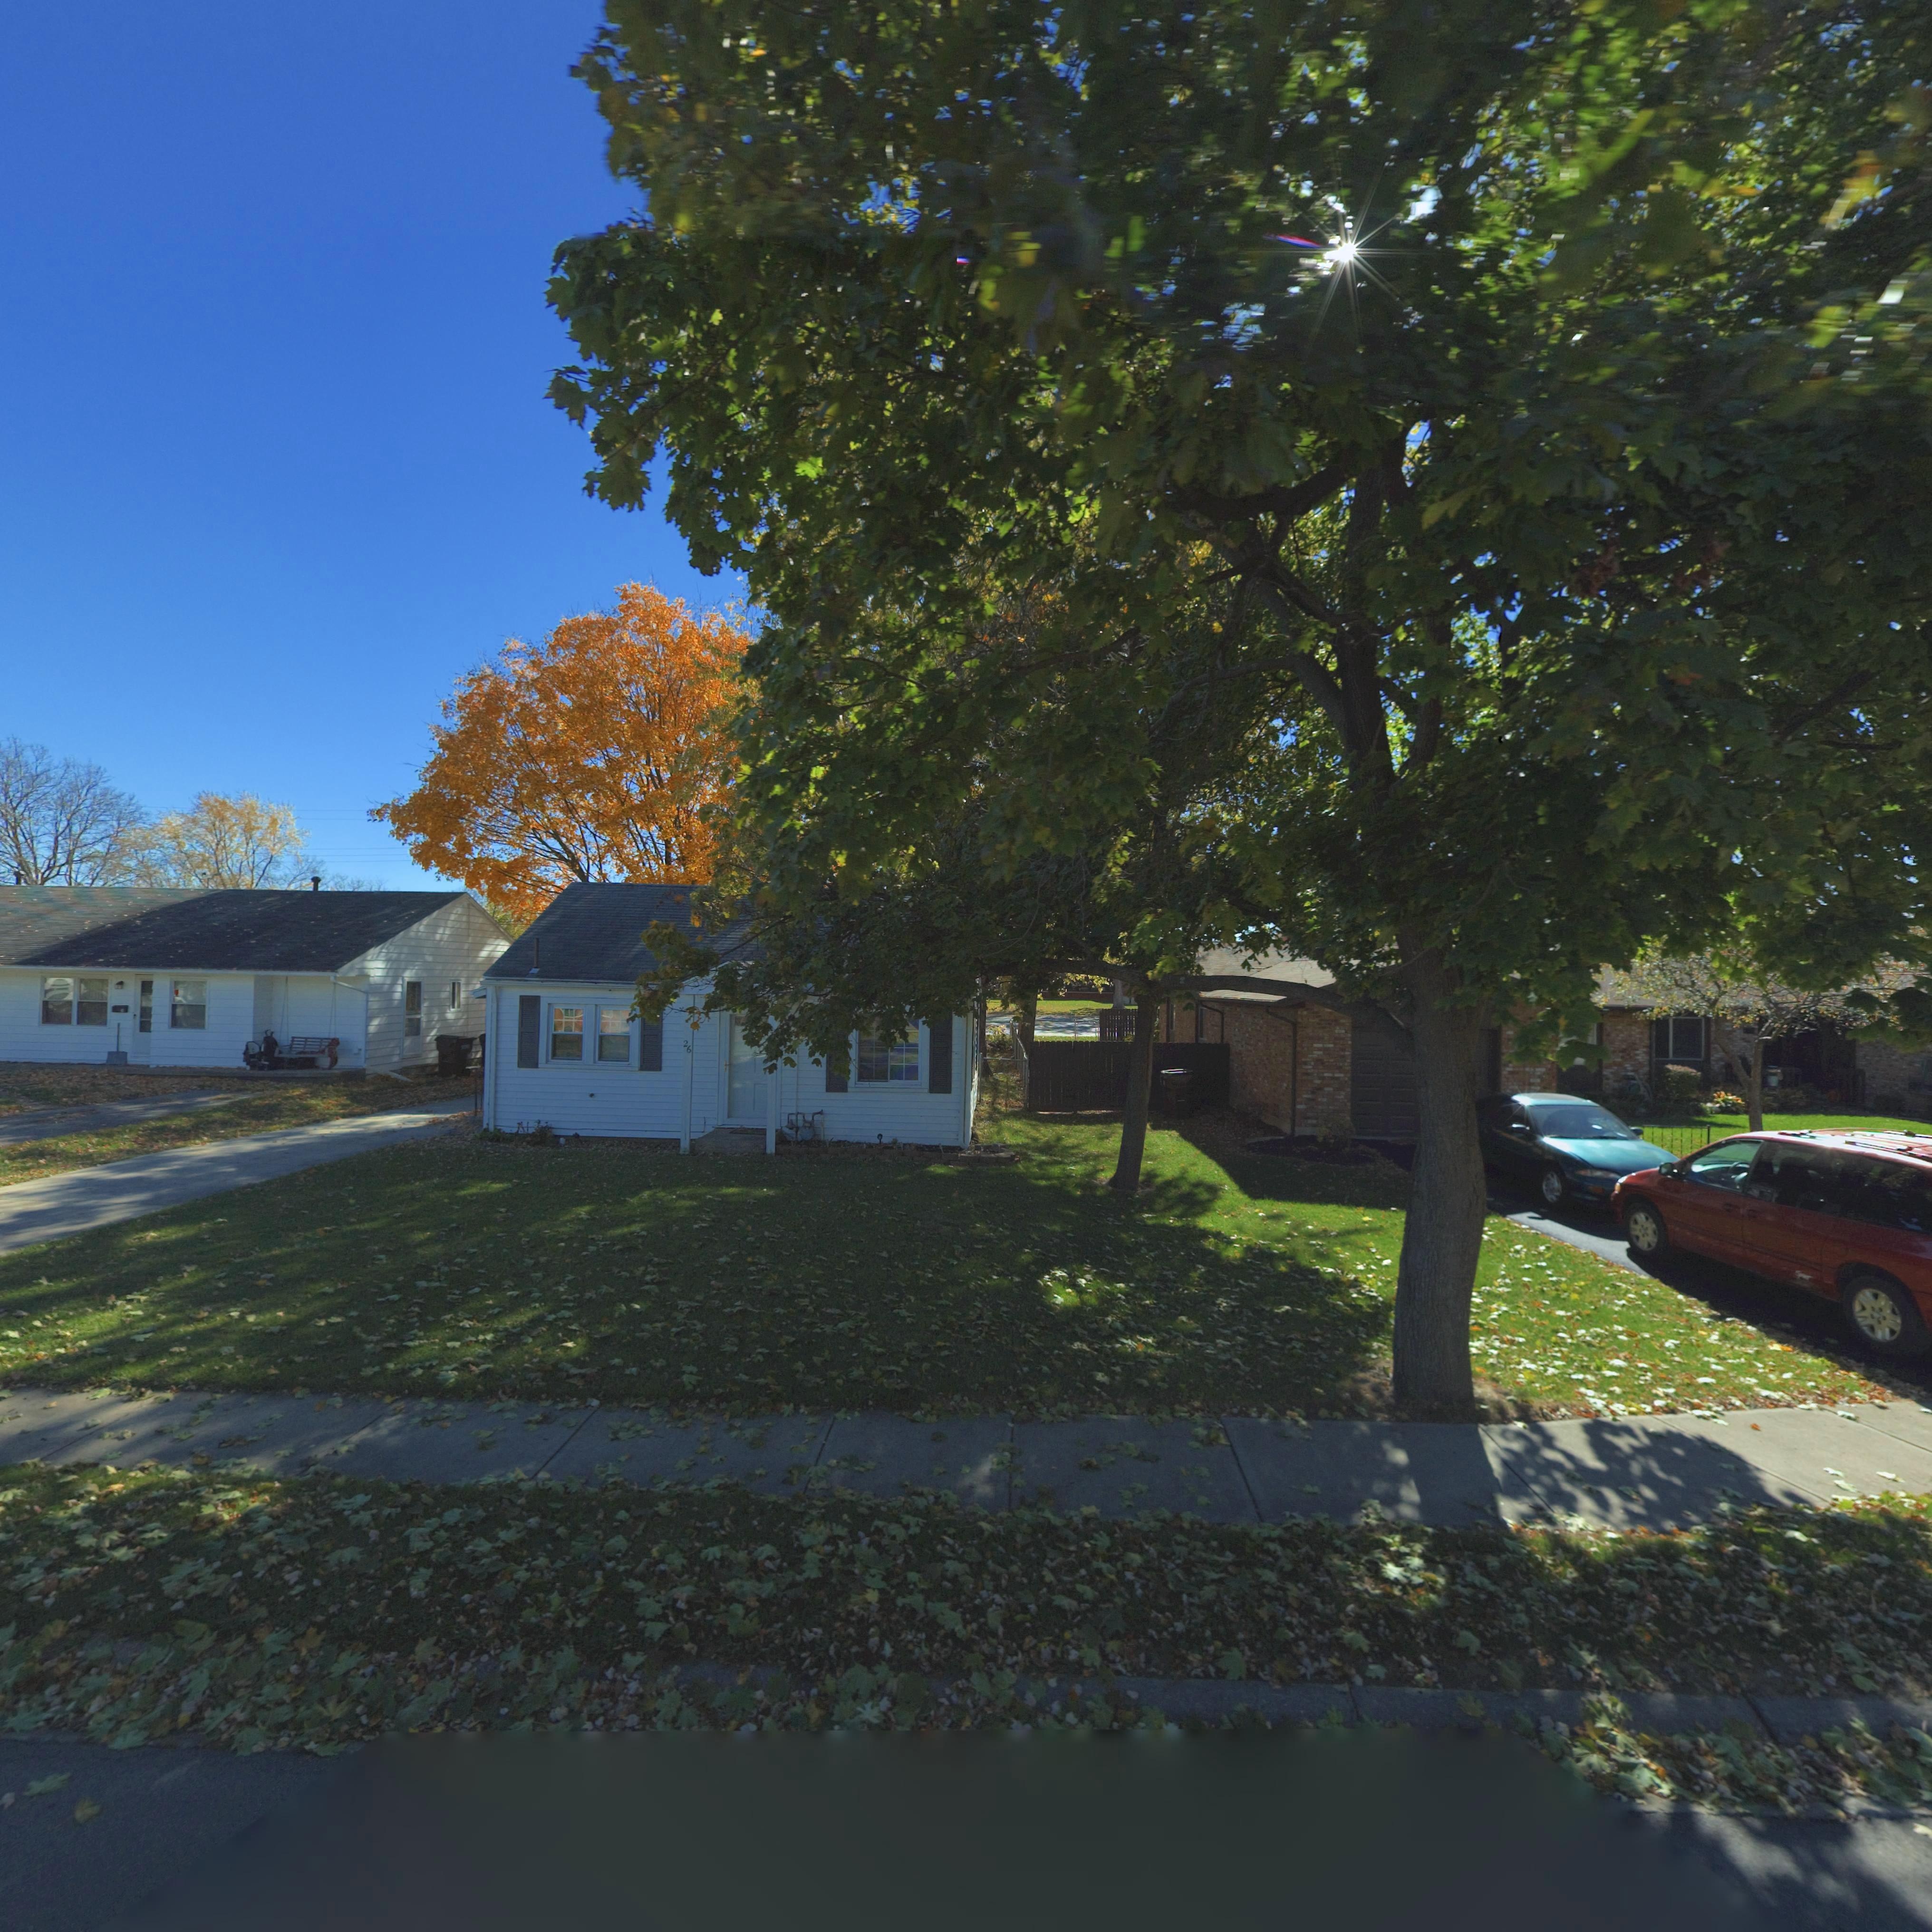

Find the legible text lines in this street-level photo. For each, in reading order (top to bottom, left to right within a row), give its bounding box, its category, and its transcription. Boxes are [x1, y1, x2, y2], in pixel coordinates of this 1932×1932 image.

[682, 1039, 692, 1055] StreetNumber: 26